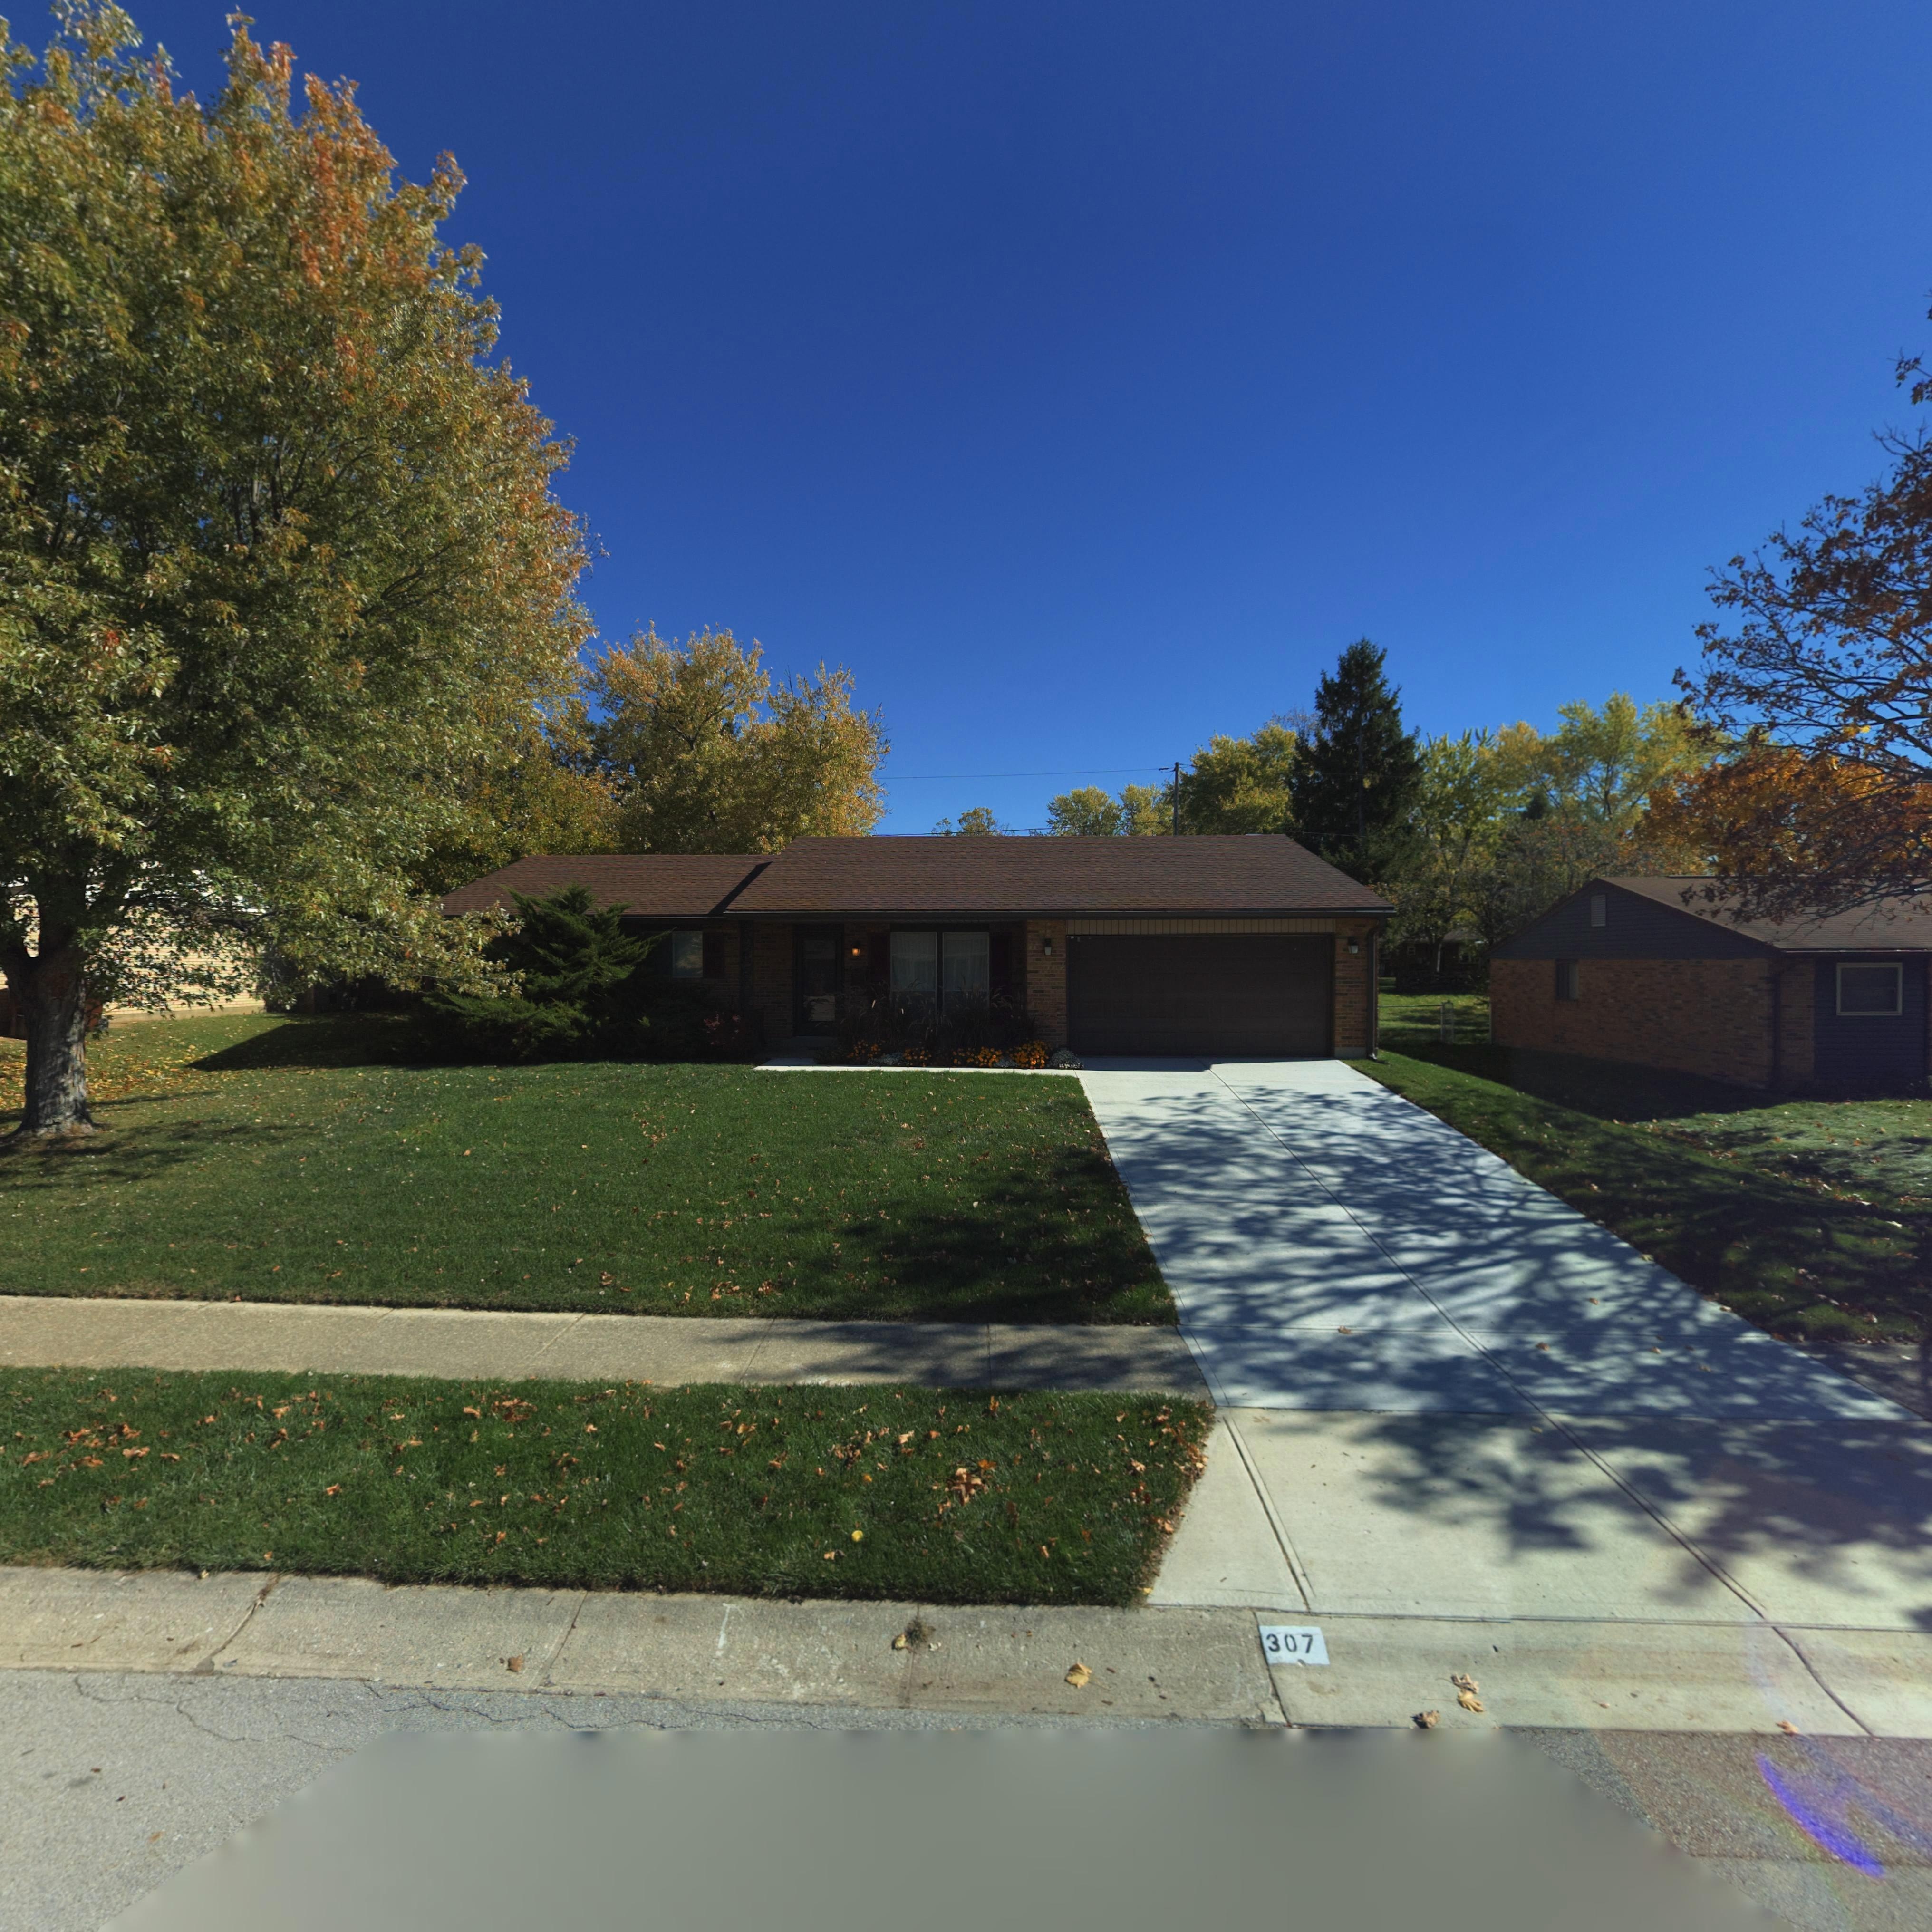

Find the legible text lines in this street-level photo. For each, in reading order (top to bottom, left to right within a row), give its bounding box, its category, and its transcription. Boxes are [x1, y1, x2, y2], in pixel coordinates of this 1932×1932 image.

[1266, 1633, 1314, 1654] StreetNumber: 307